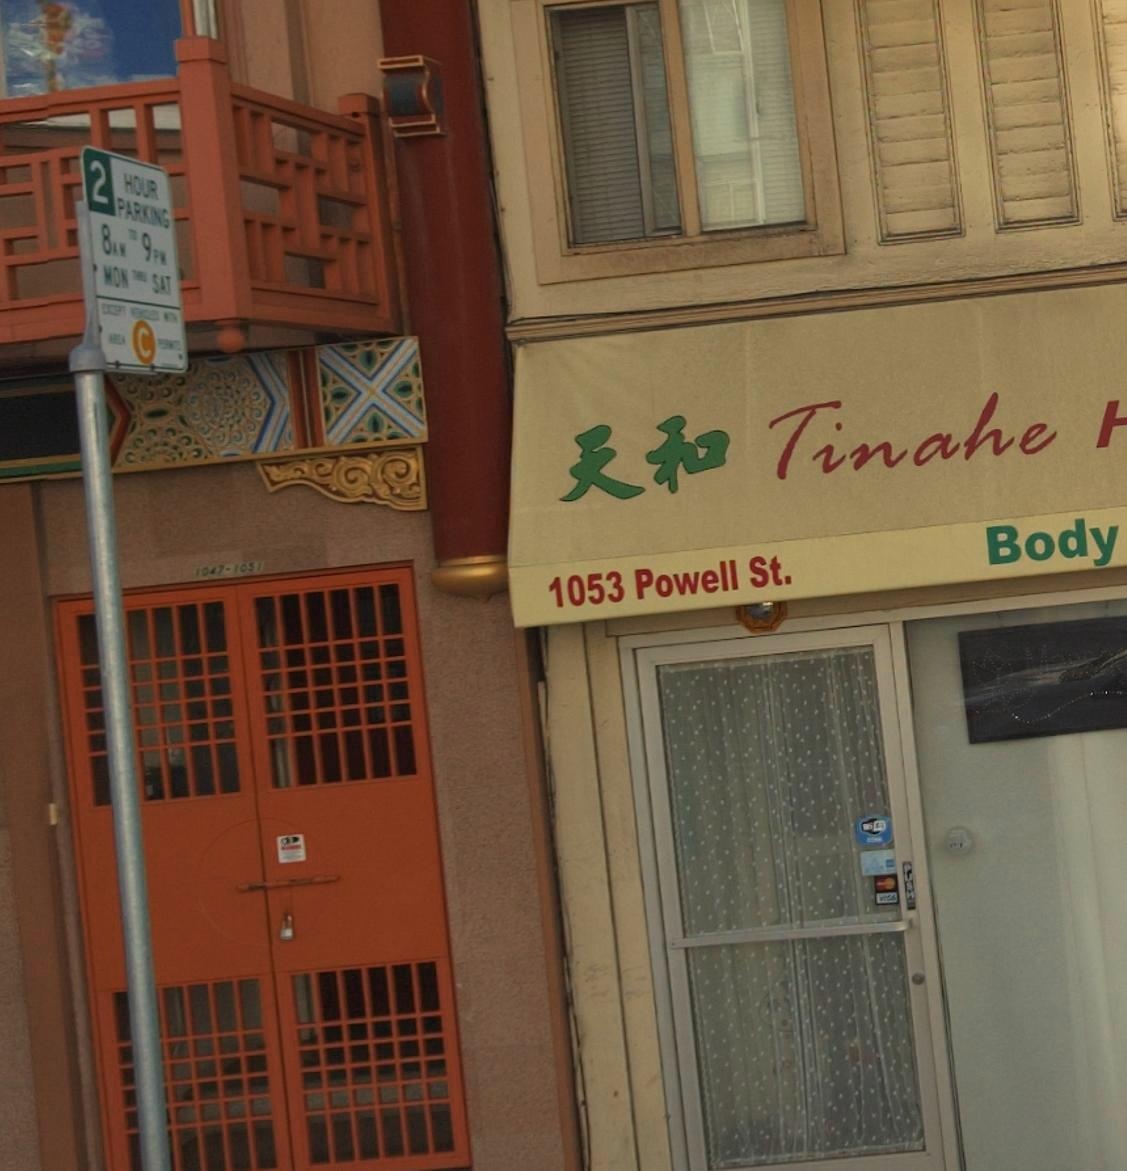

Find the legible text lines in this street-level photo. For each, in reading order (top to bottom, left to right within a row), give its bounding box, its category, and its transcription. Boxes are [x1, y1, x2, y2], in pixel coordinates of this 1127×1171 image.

[86, 155, 111, 208] None: 2
[122, 171, 163, 203] None: HOUR
[114, 193, 172, 231] None: PARKING
[99, 220, 172, 269] None: 8AM * 9PM
[100, 261, 174, 298] None: MON ** SAT
[134, 323, 156, 363] None: C
[767, 389, 1061, 483] BusinessName: Tinahe
[983, 517, 1122, 568] None: Body
[195, 563, 227, 578] StreetNumber: 1047
[233, 559, 265, 575] StreetNumber: 1051
[545, 569, 627, 609] StreetNumber: 1053
[634, 553, 784, 601] StreetName: Powell St
[902, 862, 916, 902] None: PUSH